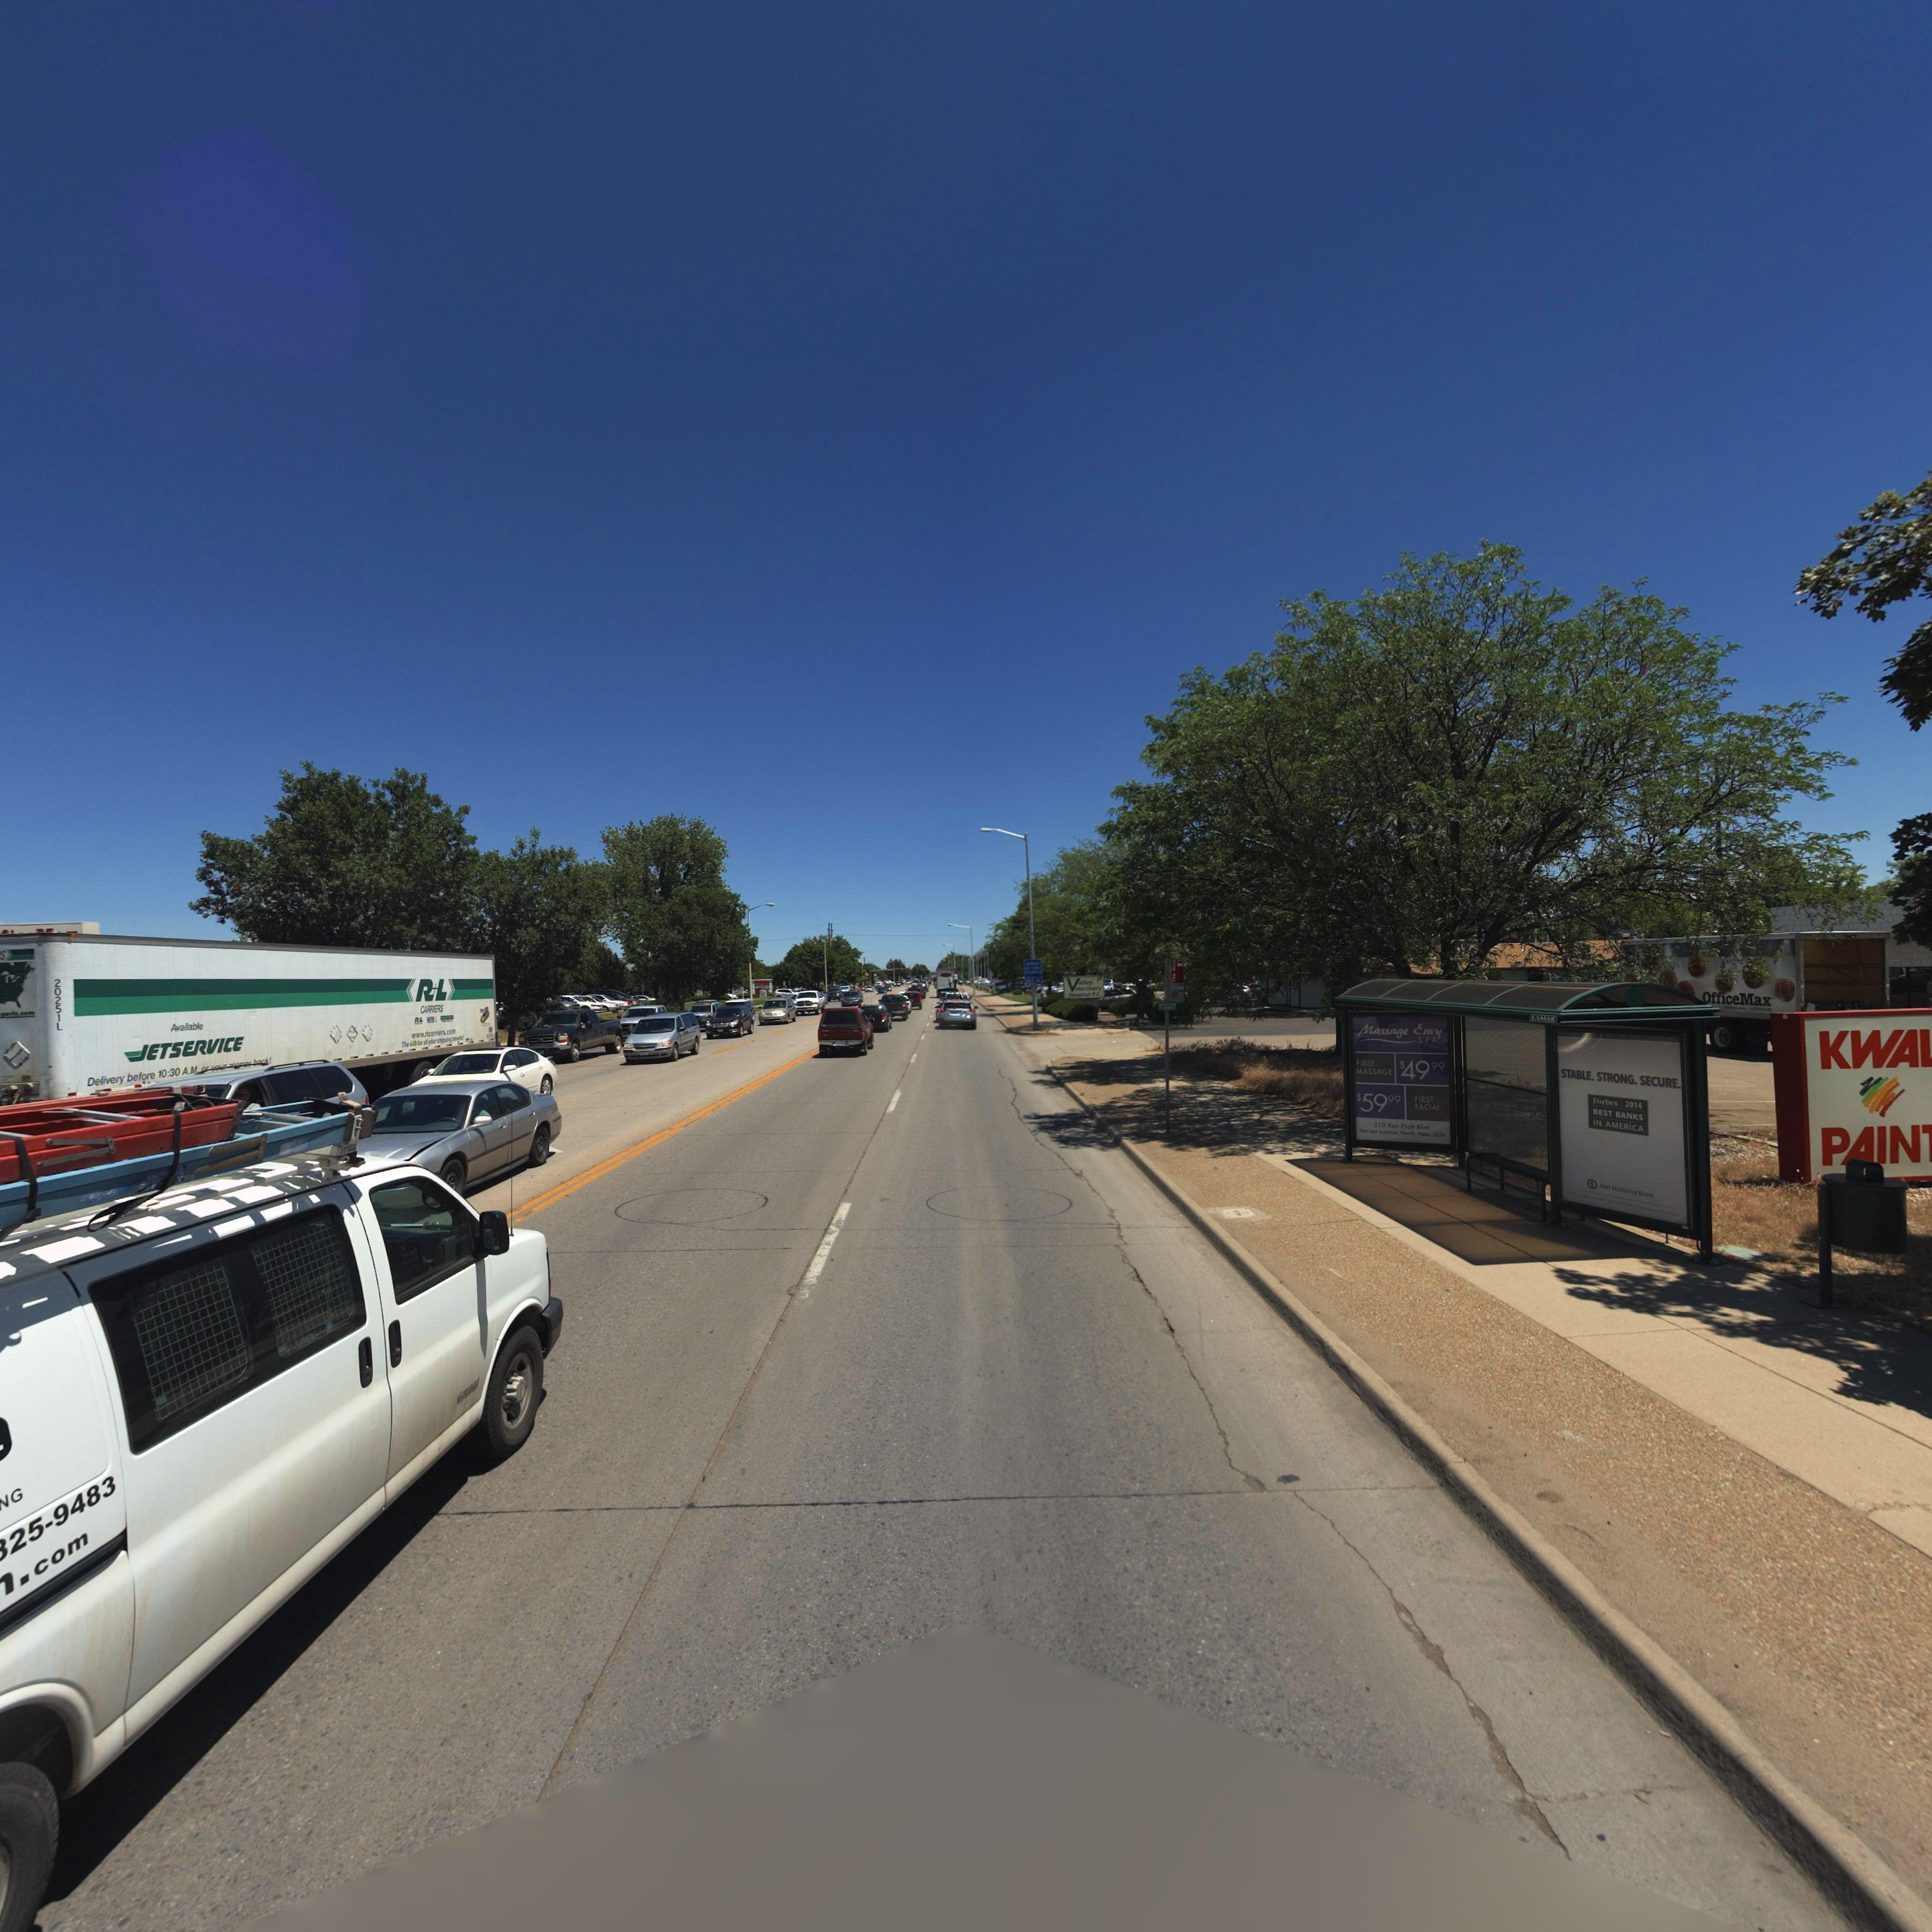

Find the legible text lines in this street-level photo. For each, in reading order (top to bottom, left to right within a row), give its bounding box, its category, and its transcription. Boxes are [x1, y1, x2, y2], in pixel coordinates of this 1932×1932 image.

[1065, 978, 1081, 992] BusinessName: V
[1069, 992, 1102, 997] None: Hospital P.C.
[1078, 979, 1093, 985] BusinessName: alley
[1075, 985, 1103, 991] BusinessName: eterinary
[1818, 1027, 1920, 1070] BusinessName: KWA
[1820, 1123, 1922, 1166] None: PAIN